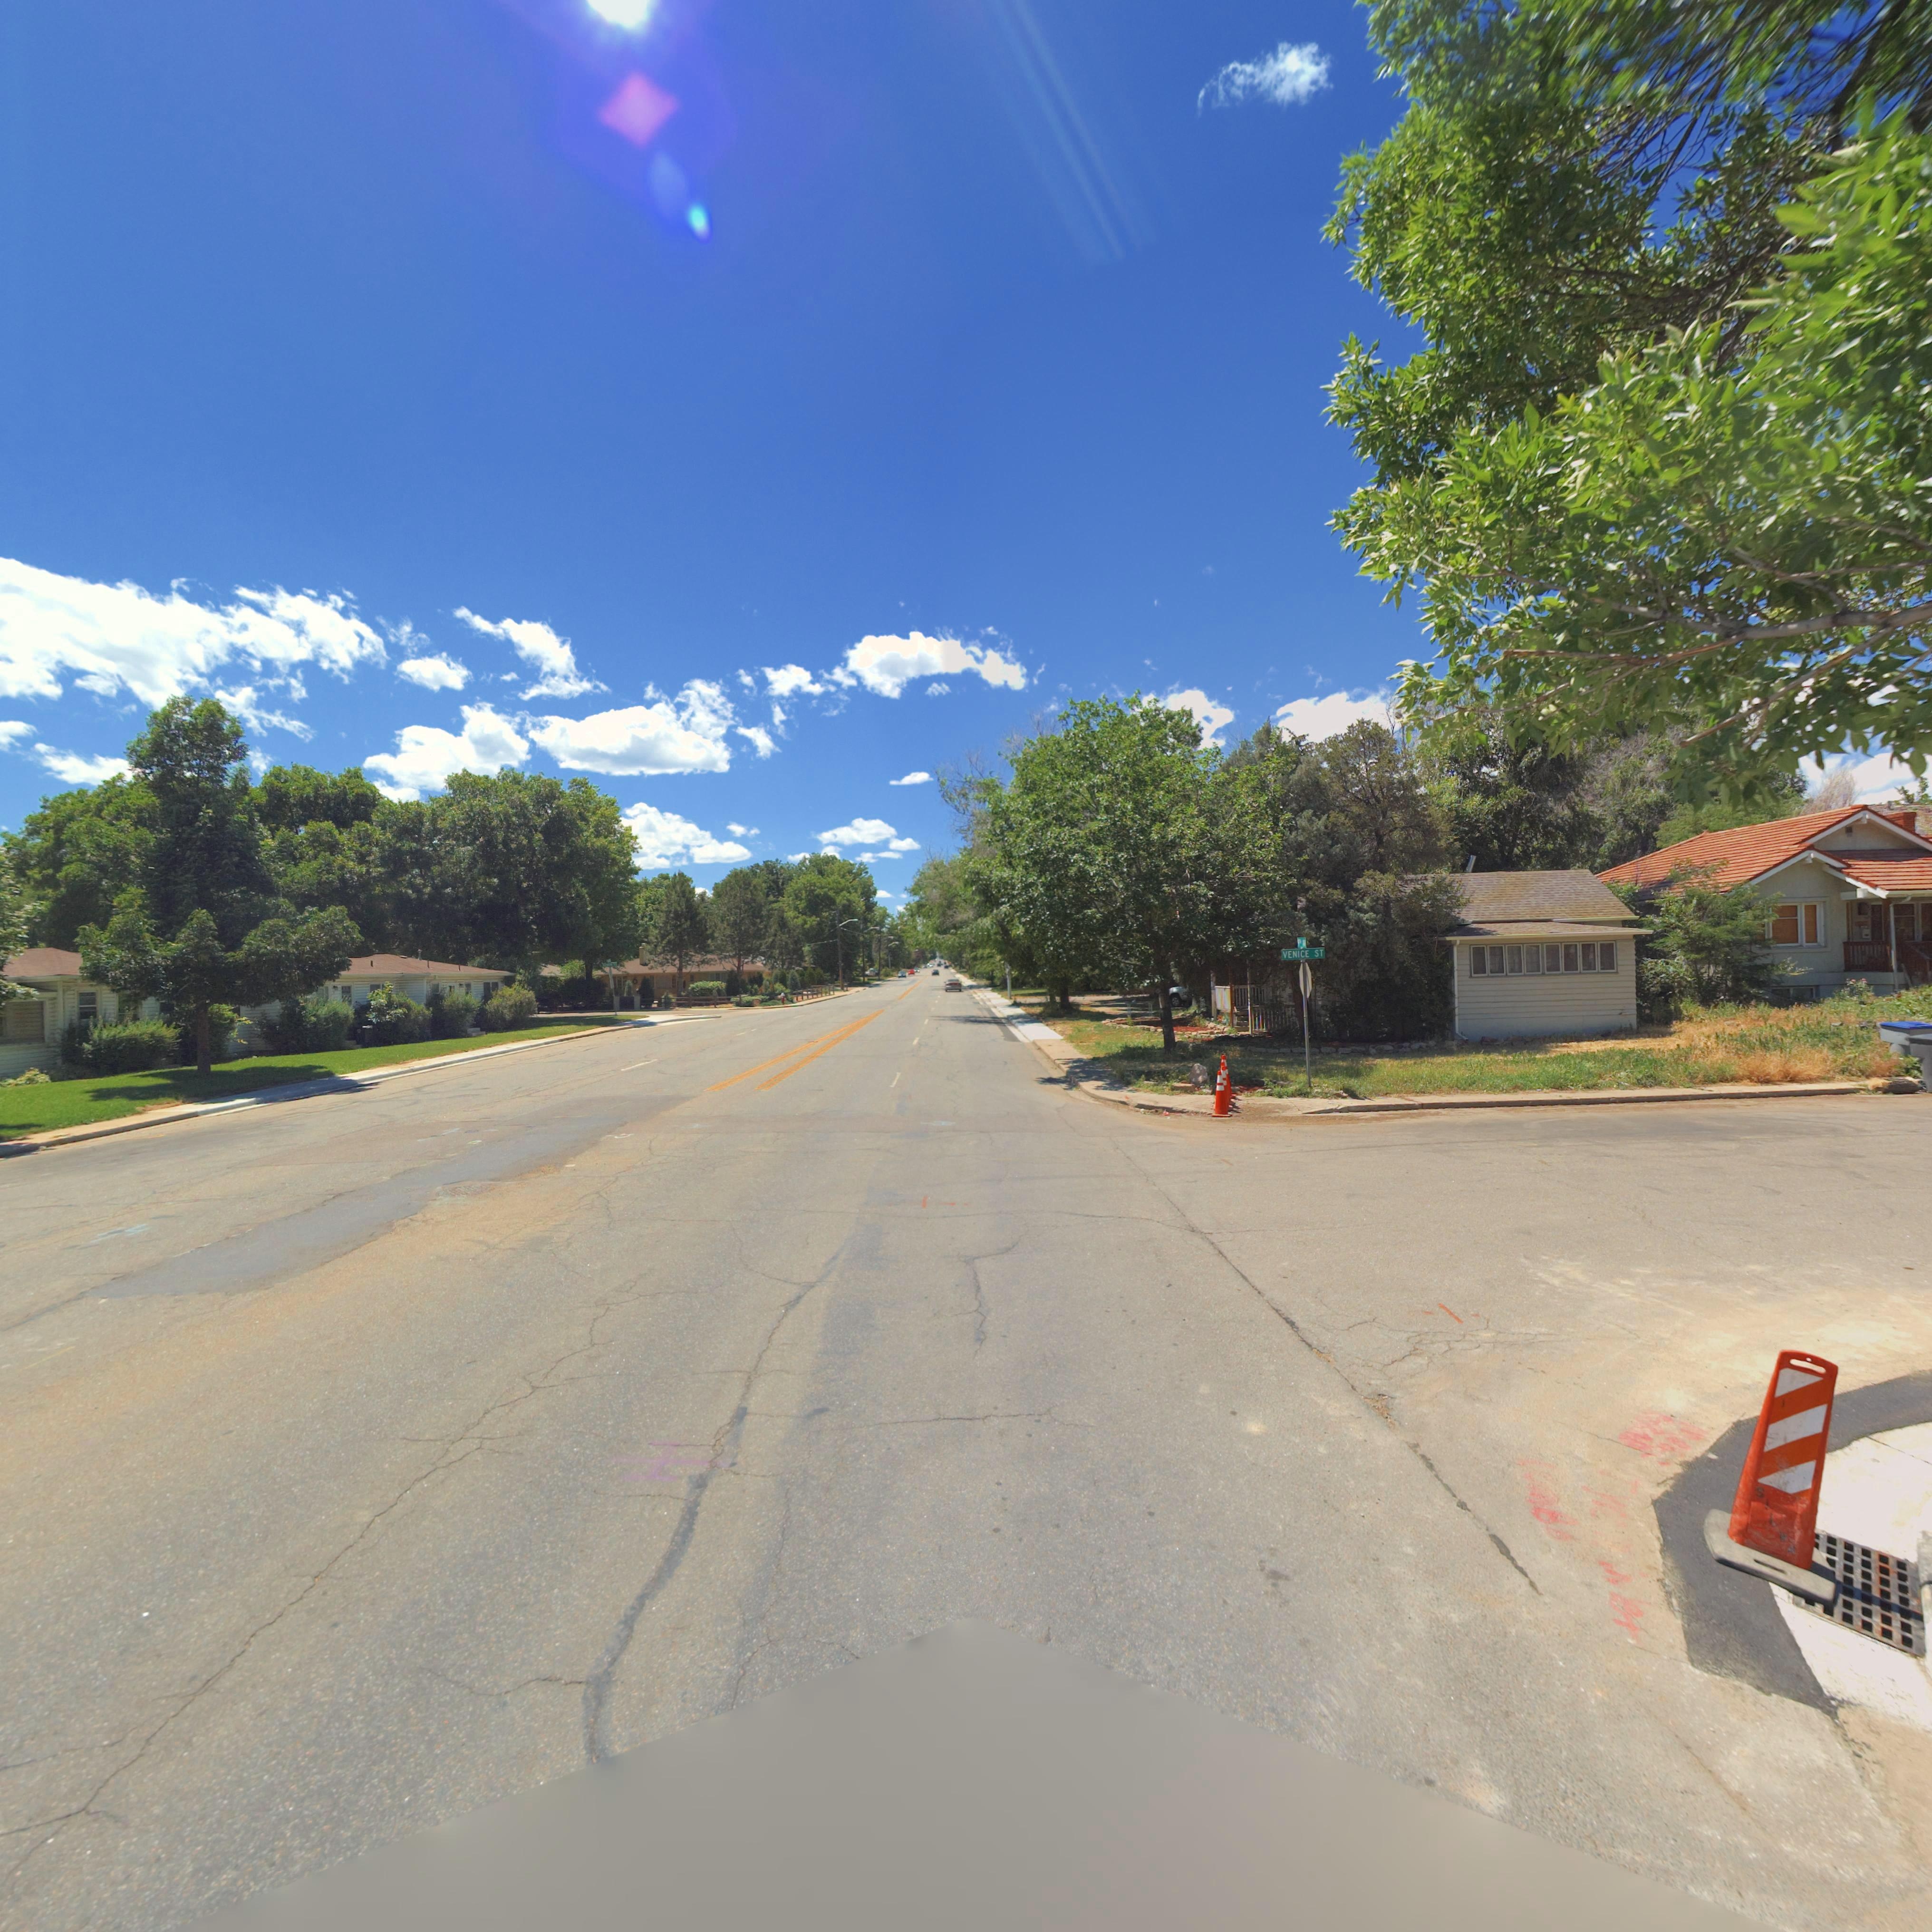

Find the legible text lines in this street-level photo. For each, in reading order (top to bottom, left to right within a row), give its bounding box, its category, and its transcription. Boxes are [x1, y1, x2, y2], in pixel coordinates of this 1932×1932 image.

[1297, 939, 1305, 947] StreetName: 9** **
[1283, 949, 1323, 958] StreetName: VENICE ST